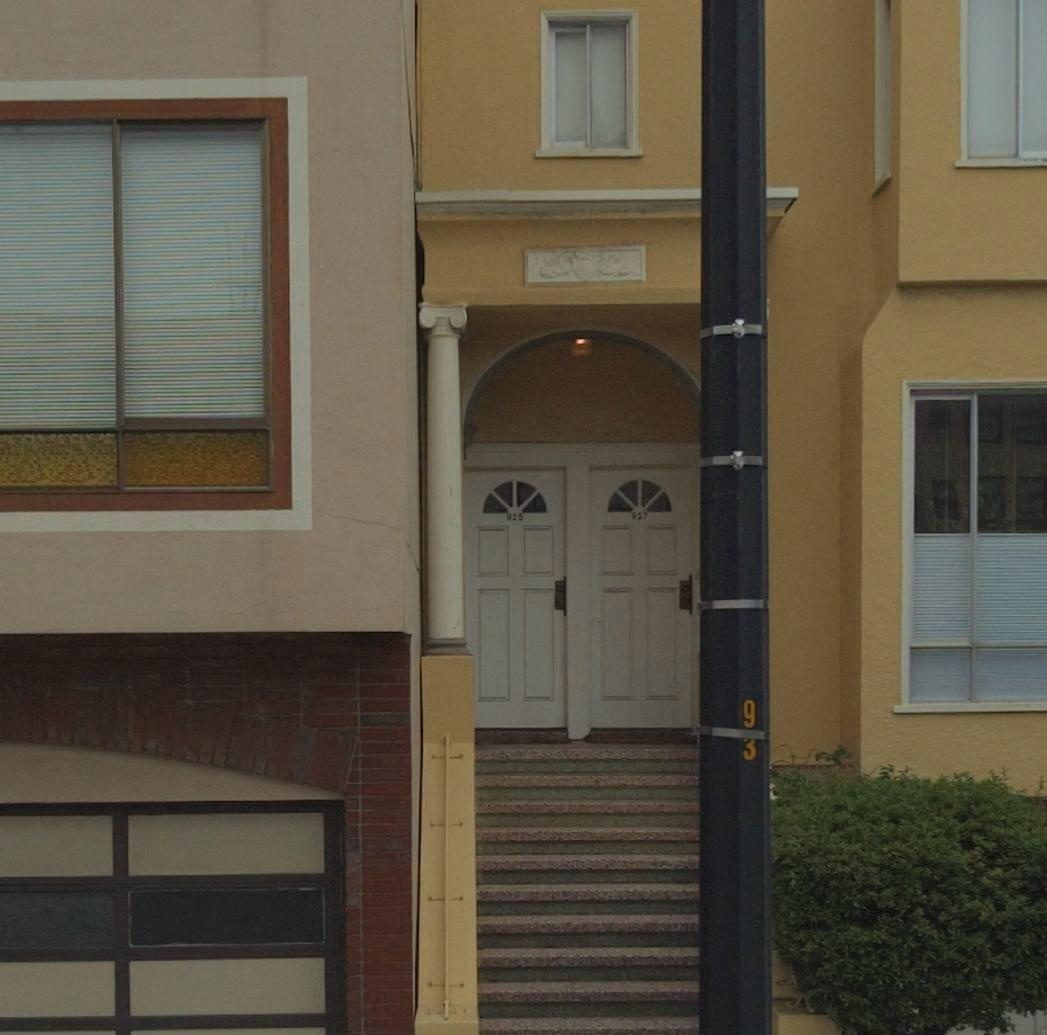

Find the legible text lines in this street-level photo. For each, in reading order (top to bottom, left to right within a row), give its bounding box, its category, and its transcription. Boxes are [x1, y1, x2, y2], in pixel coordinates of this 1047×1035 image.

[505, 512, 524, 522] StreetNumber: 925
[630, 510, 648, 520] StreetNumber: 927
[742, 698, 757, 761] None: 9*